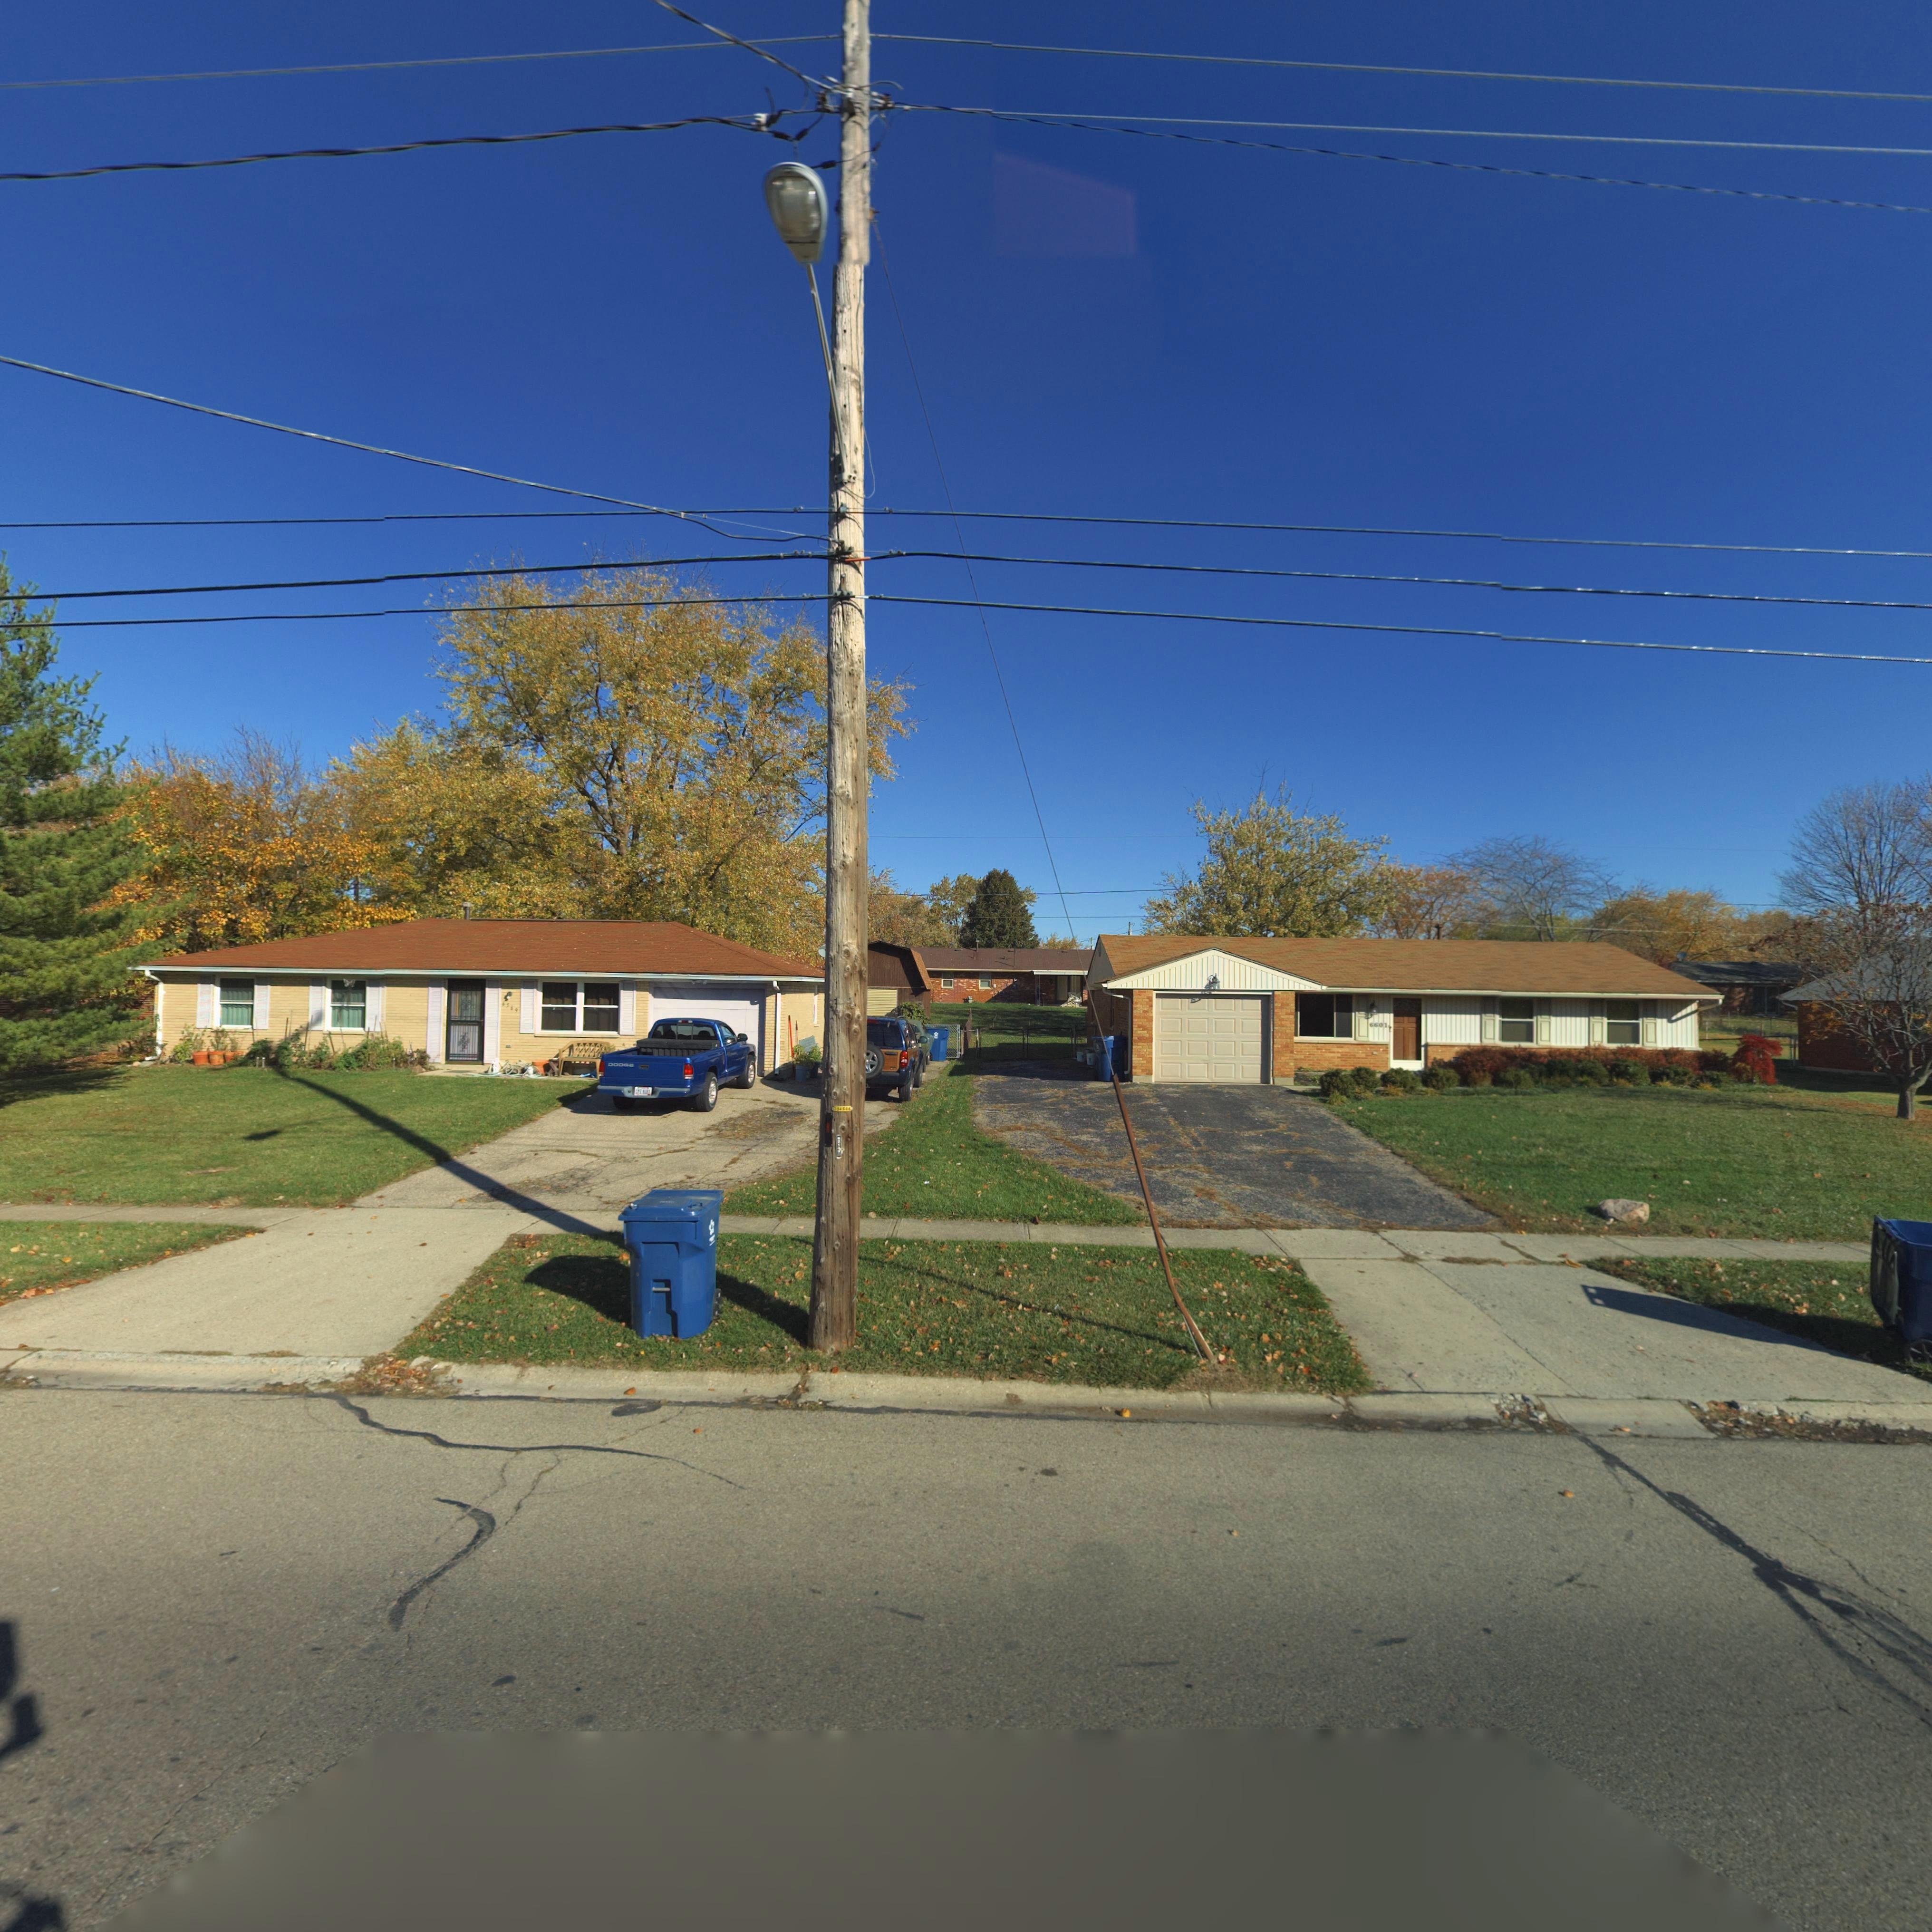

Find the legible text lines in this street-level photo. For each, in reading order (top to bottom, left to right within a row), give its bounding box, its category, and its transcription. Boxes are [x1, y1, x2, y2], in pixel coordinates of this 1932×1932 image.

[501, 999, 519, 1014] StreetNumber: 65*9
[1368, 1021, 1388, 1029] StreetNumber: 6601